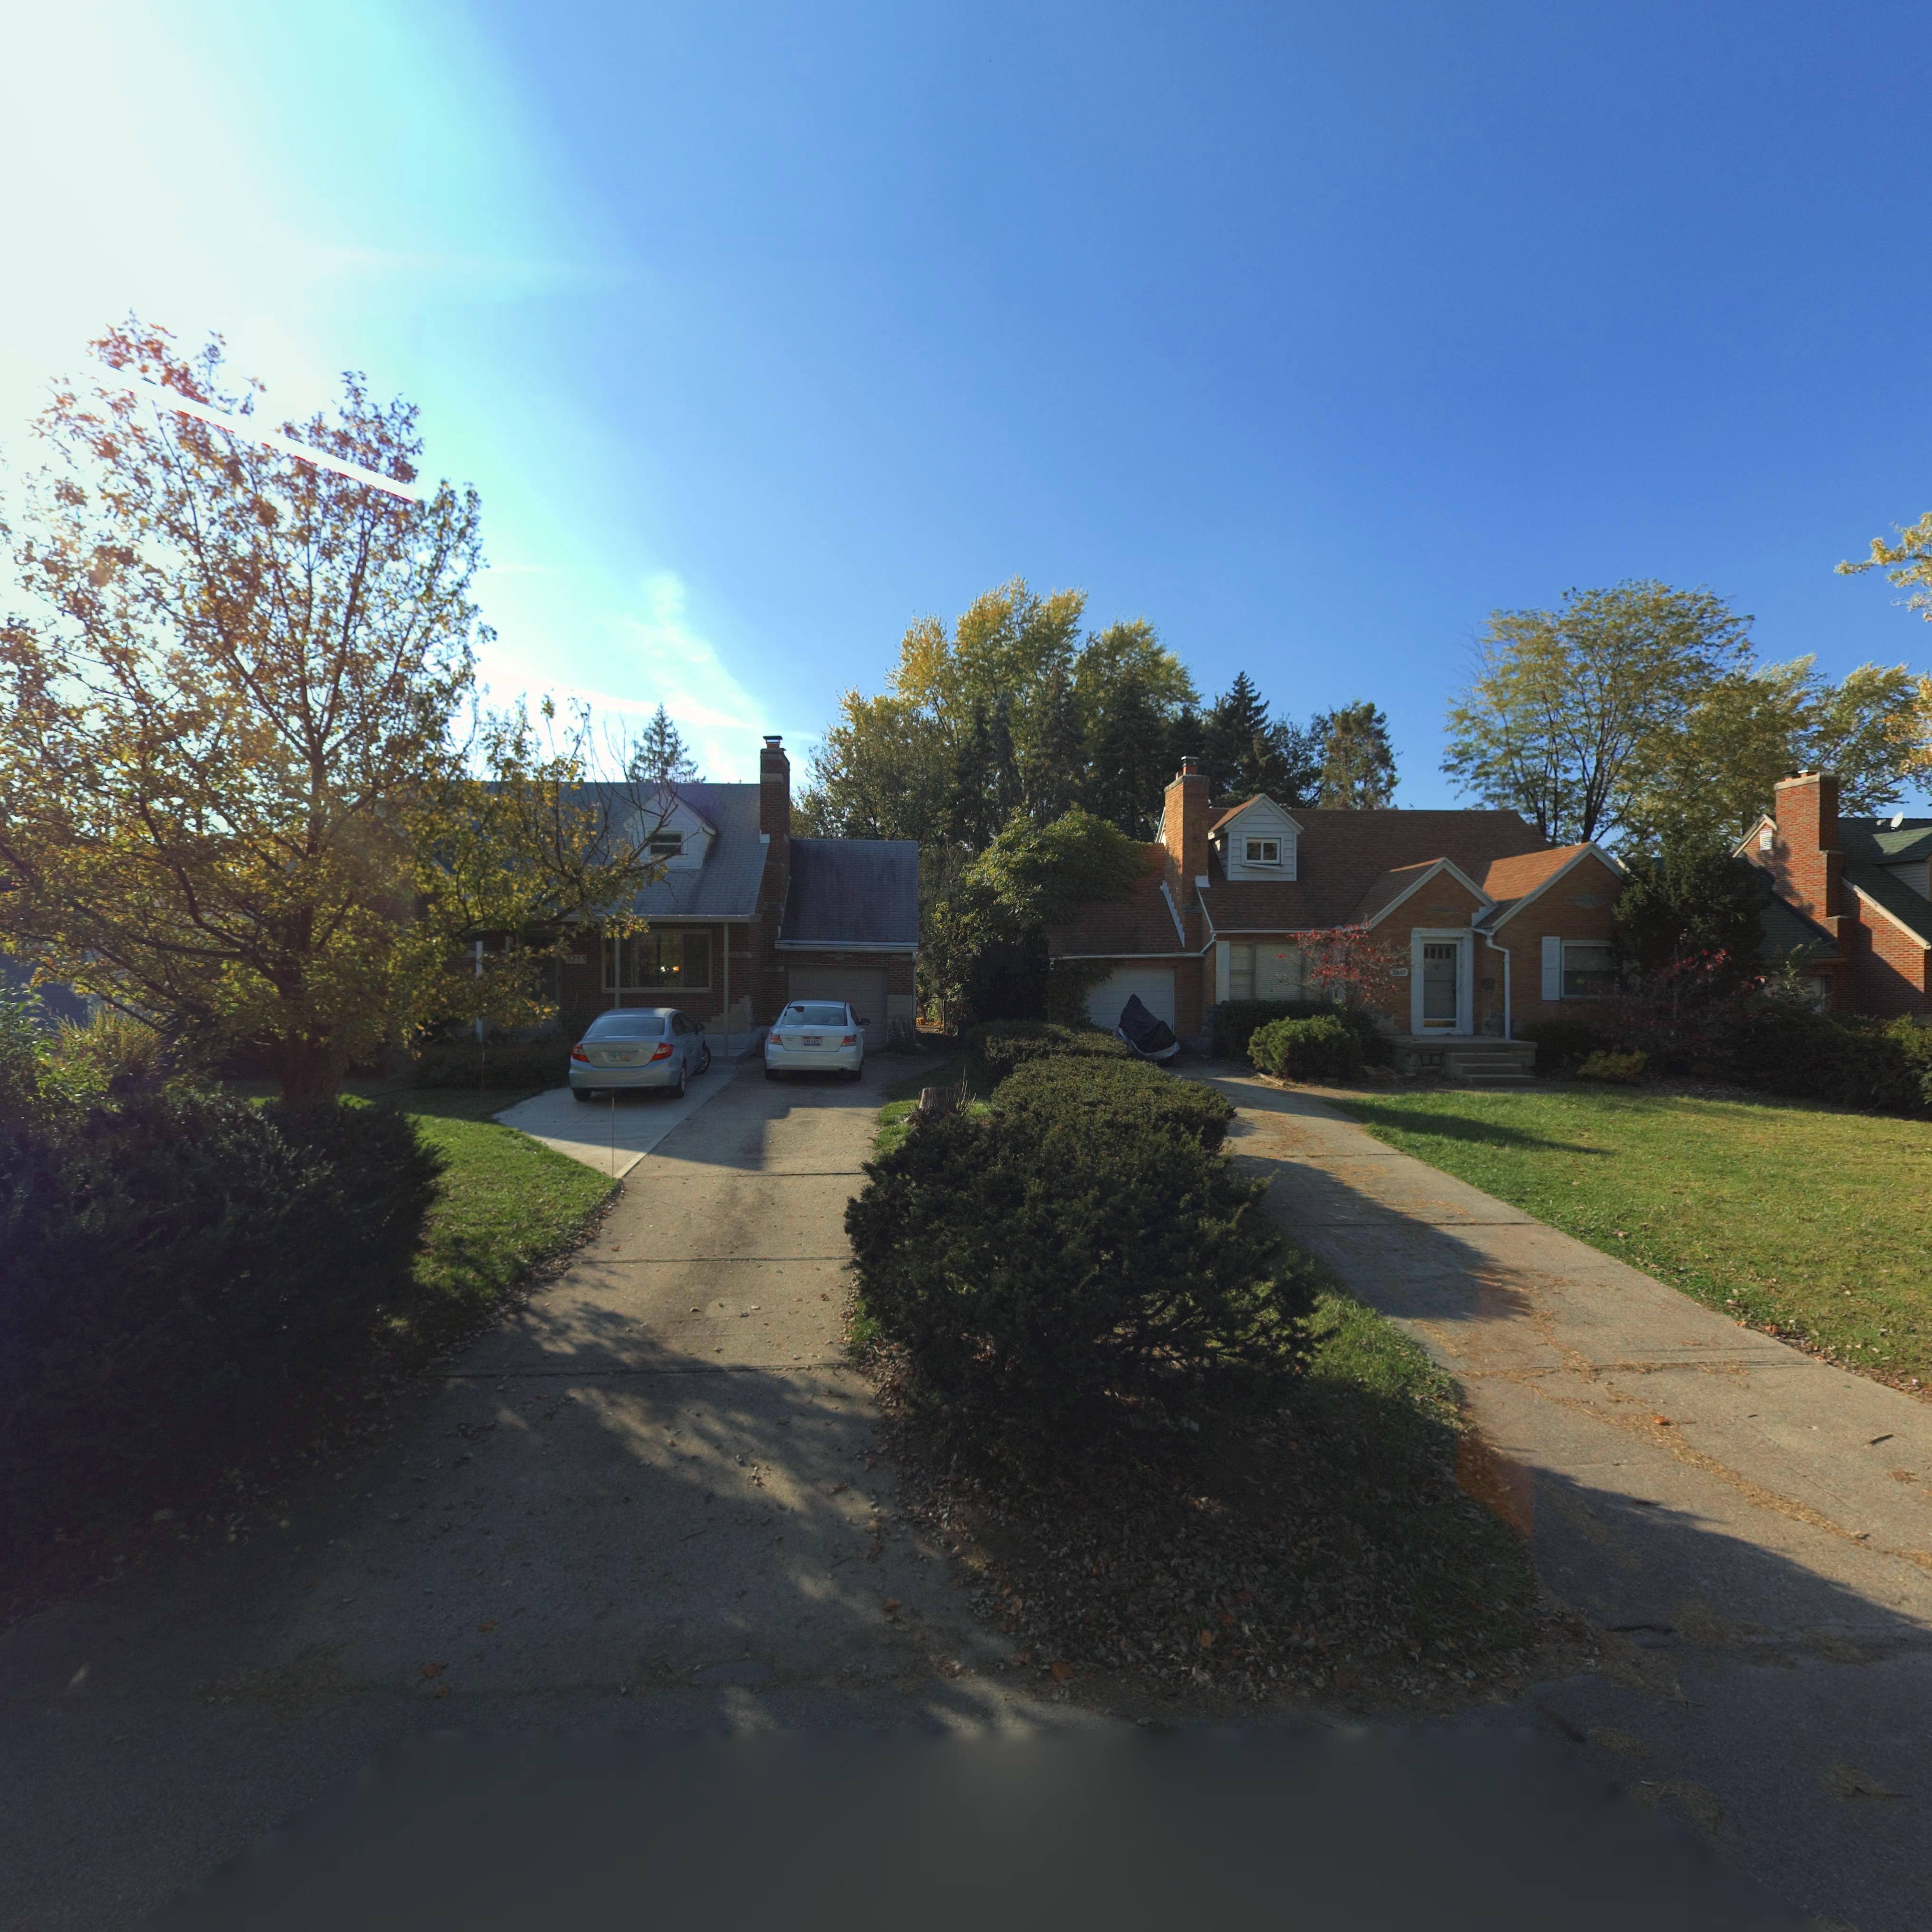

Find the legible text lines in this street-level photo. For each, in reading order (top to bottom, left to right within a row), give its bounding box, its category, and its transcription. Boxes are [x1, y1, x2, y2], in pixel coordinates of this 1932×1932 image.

[566, 955, 586, 962] StreetNumber: 3253
[1392, 969, 1406, 975] StreetNumber: 32*7